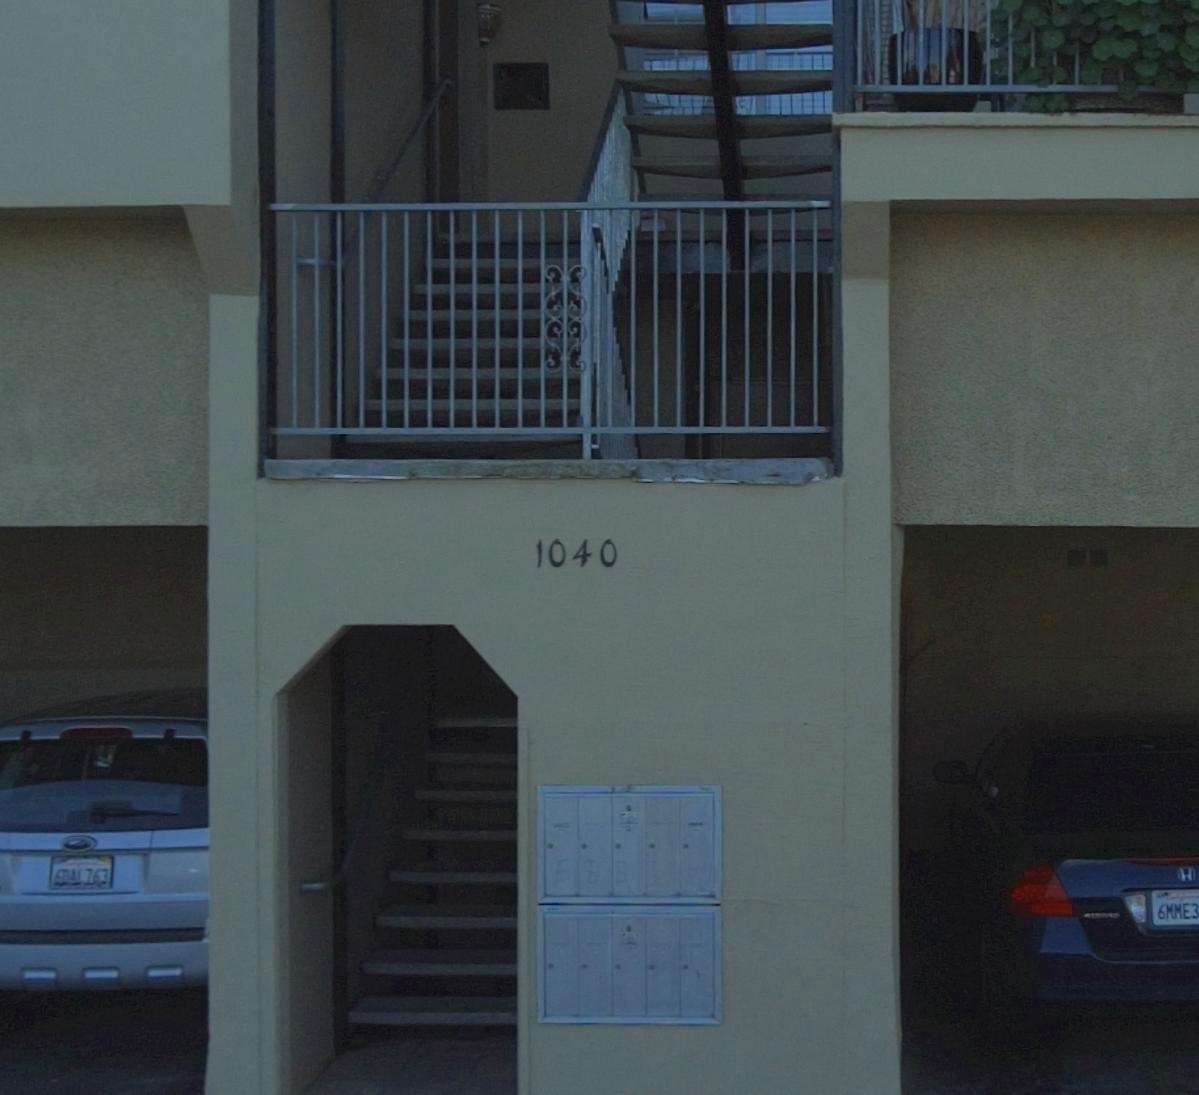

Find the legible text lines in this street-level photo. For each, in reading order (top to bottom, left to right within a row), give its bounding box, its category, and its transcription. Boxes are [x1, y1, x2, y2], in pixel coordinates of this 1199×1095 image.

[532, 536, 618, 570] StreetNumber: 1040
[53, 867, 108, 886] None: 6**763
[1157, 903, 1197, 919] None: 6MME3